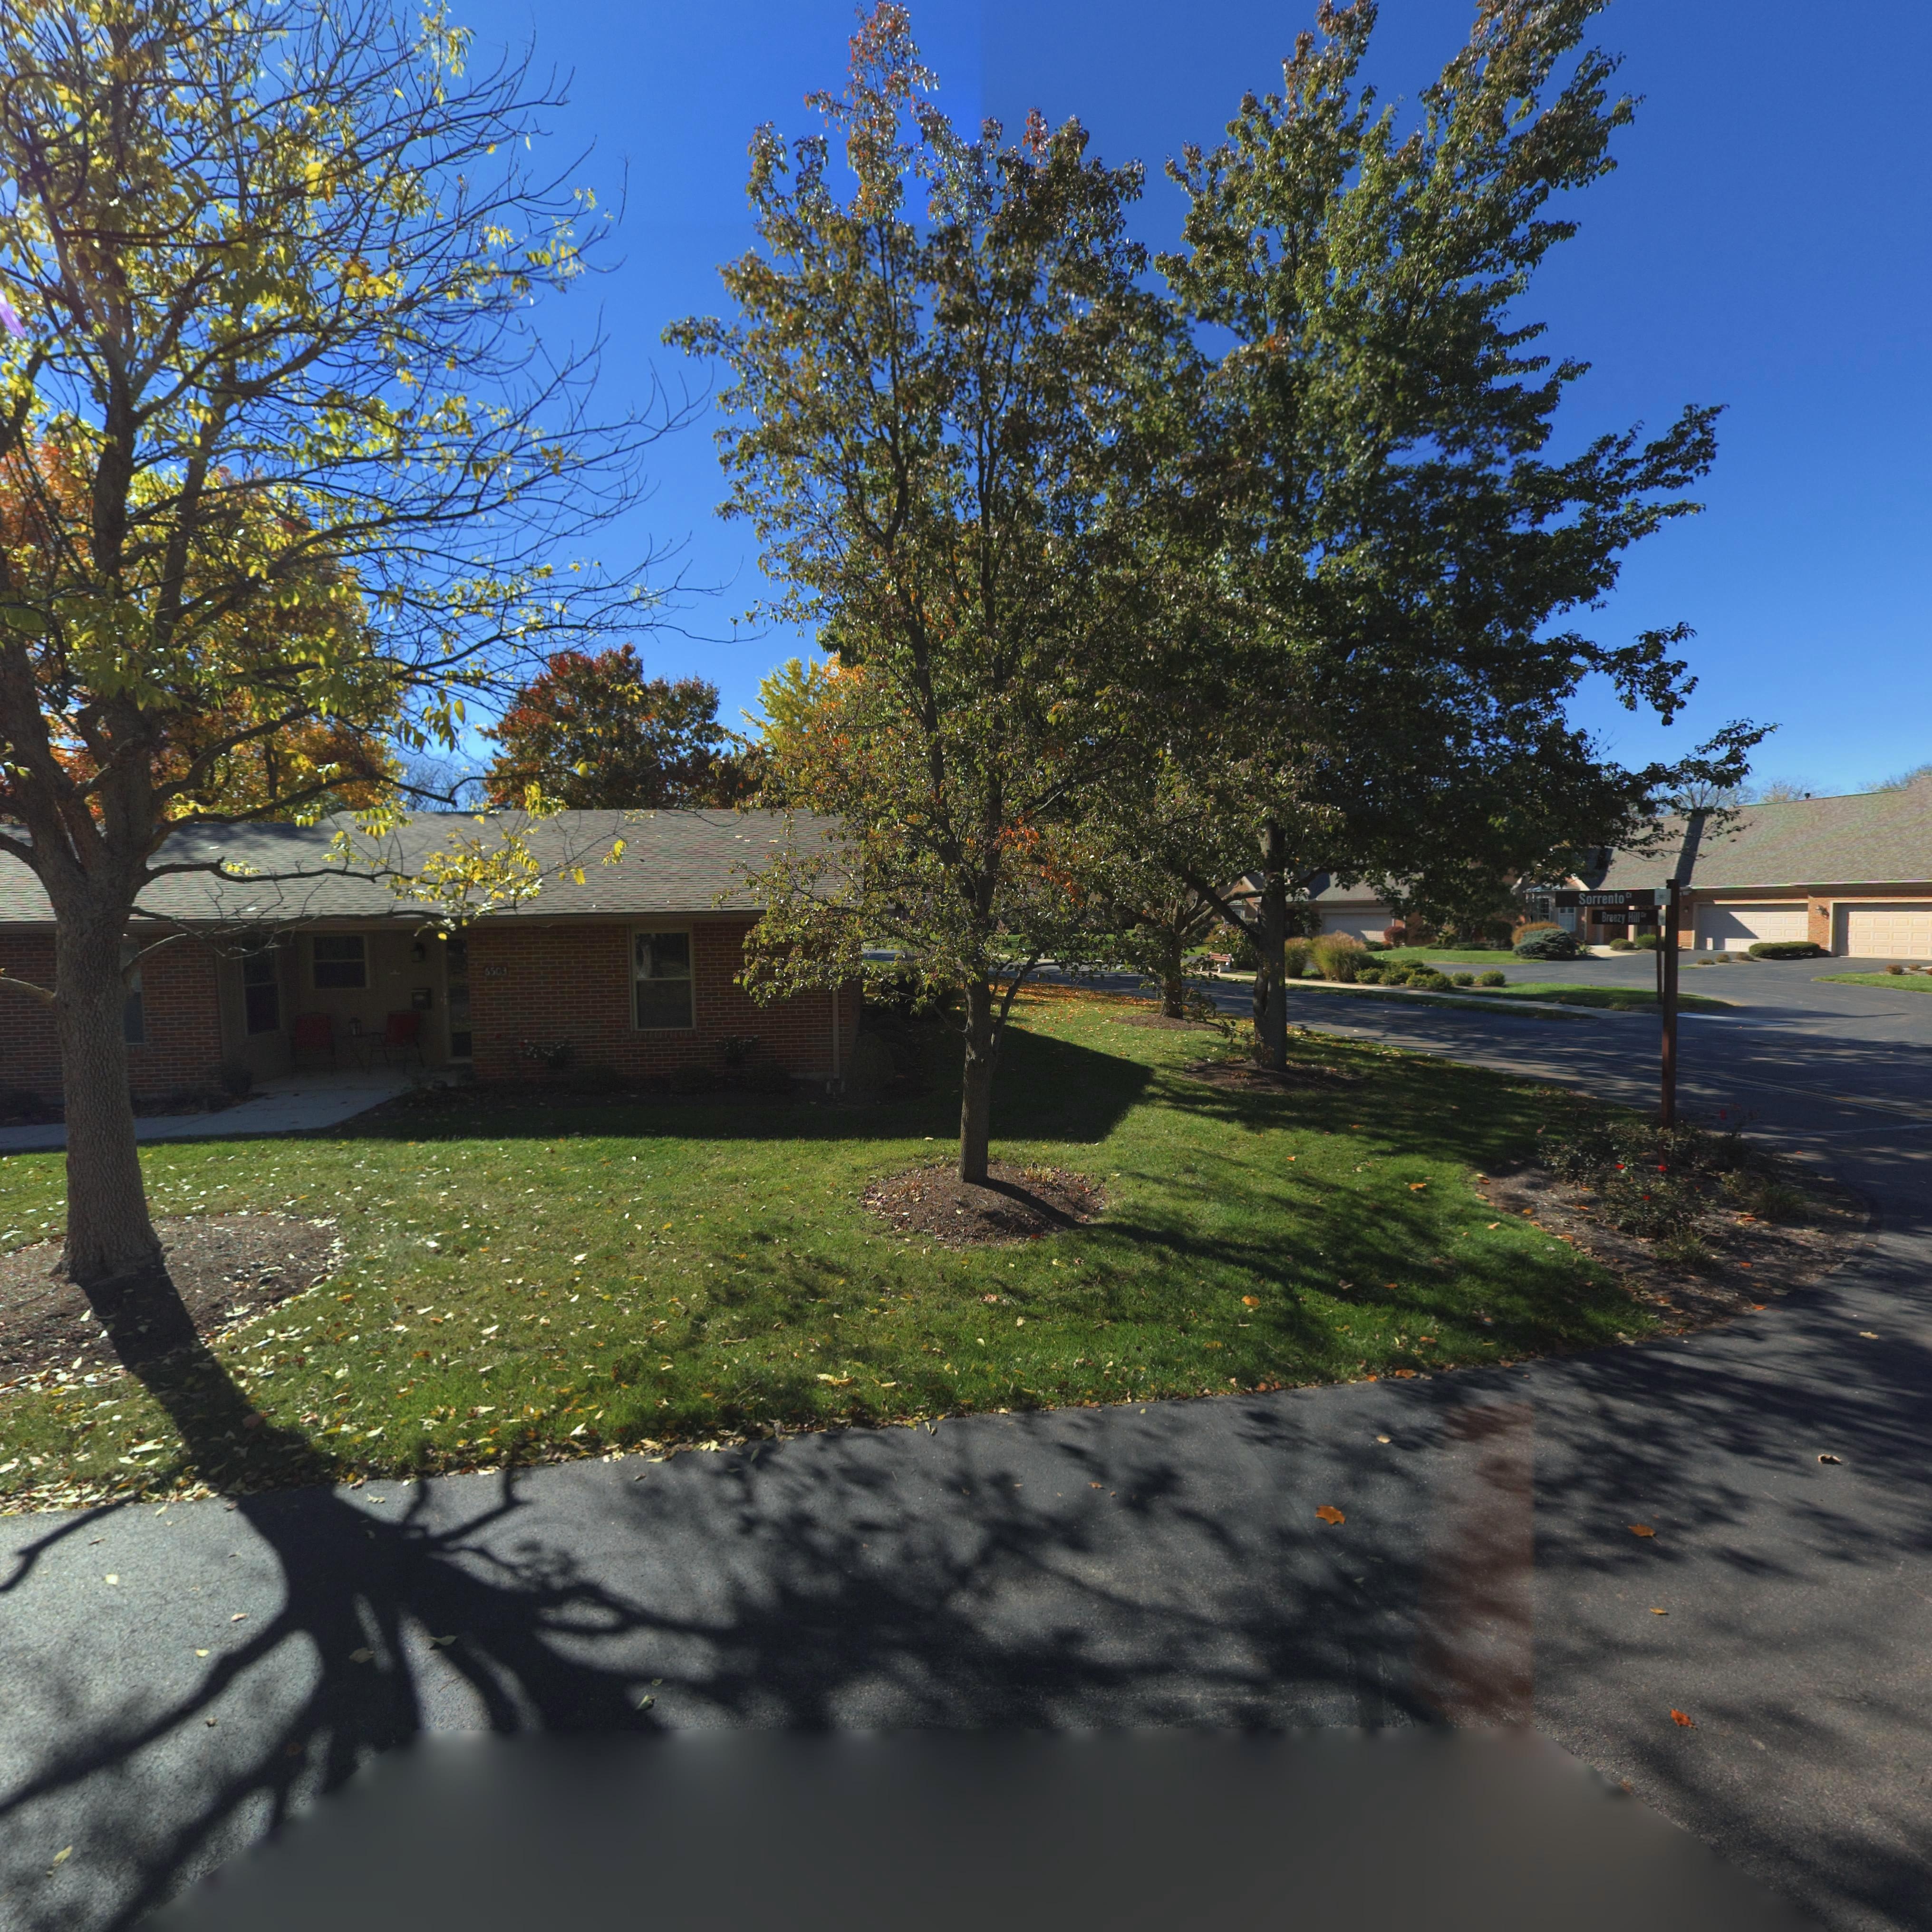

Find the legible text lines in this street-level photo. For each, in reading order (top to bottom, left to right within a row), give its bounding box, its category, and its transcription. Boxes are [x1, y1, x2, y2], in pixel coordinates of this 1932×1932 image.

[1578, 891, 1633, 906] StreetName: Sorrento Ct
[1601, 911, 1648, 925] StreetName: Breezy Hill Dr
[484, 966, 508, 976] StreetNumber: 6503